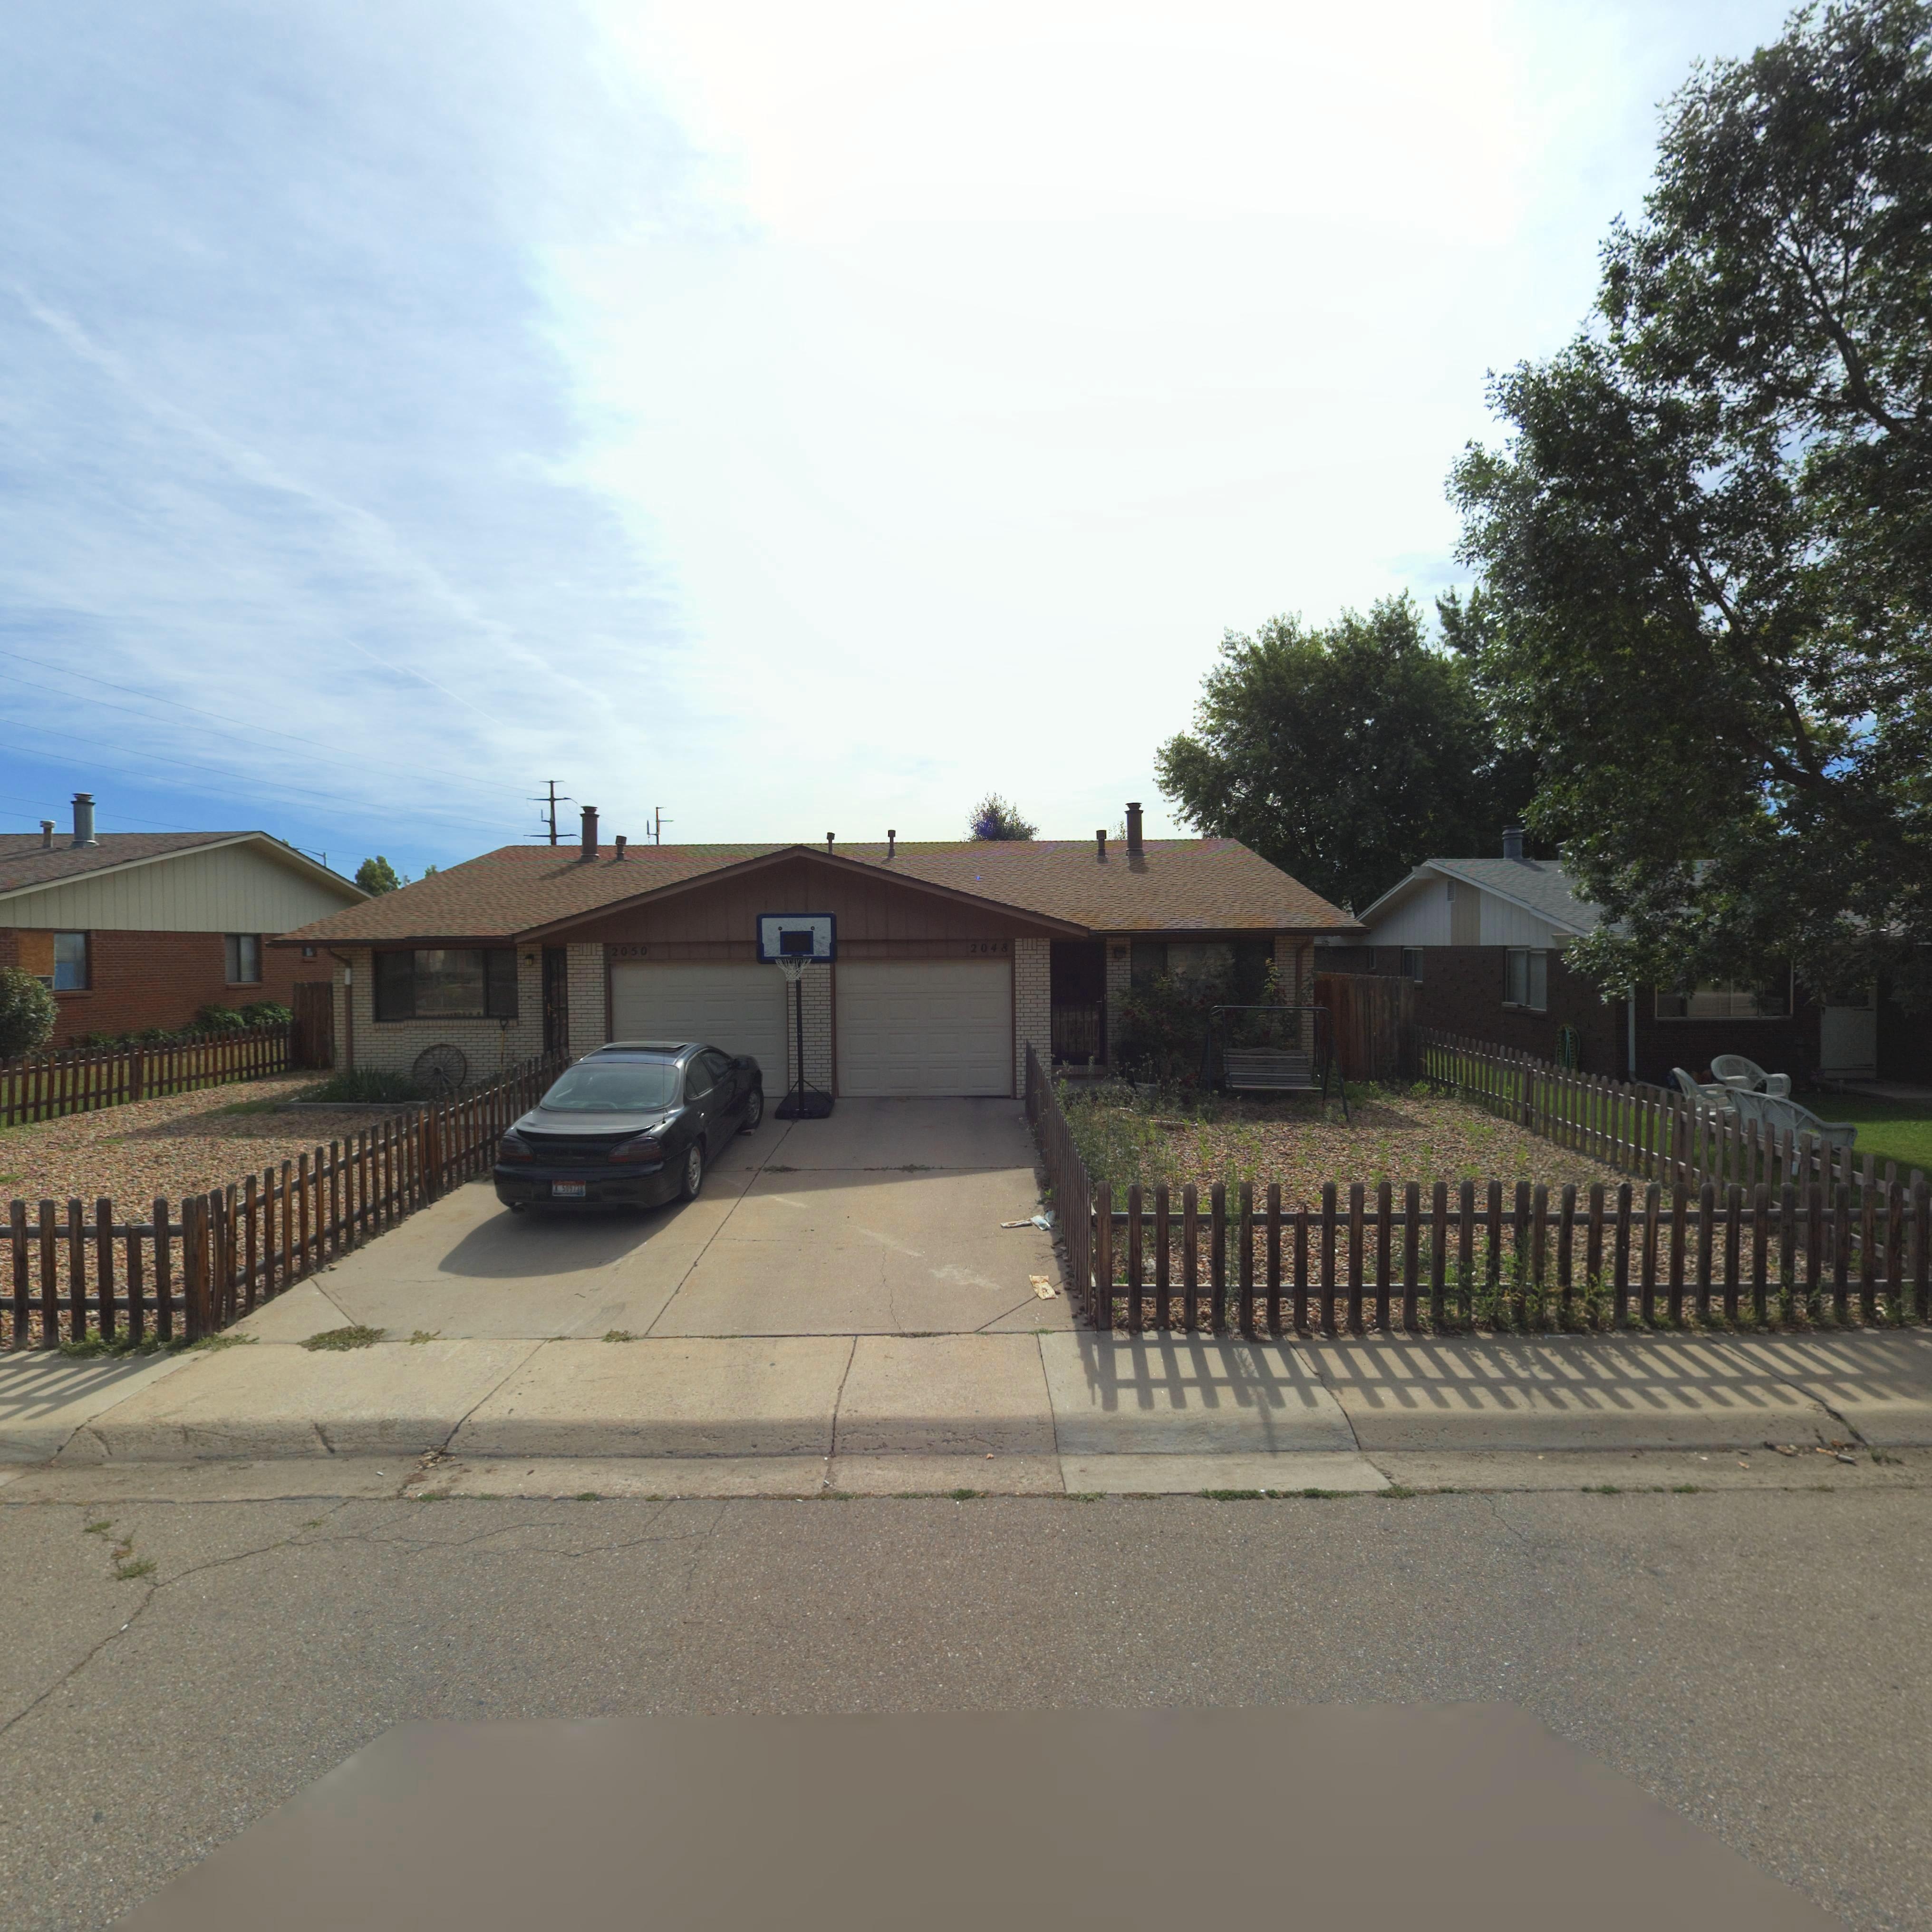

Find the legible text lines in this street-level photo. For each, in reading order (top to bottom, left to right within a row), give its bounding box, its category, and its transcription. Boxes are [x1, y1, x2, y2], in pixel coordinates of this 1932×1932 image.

[610, 946, 647, 956] StreetNumber: 2050
[969, 943, 1008, 953] StreetNumber: 2048